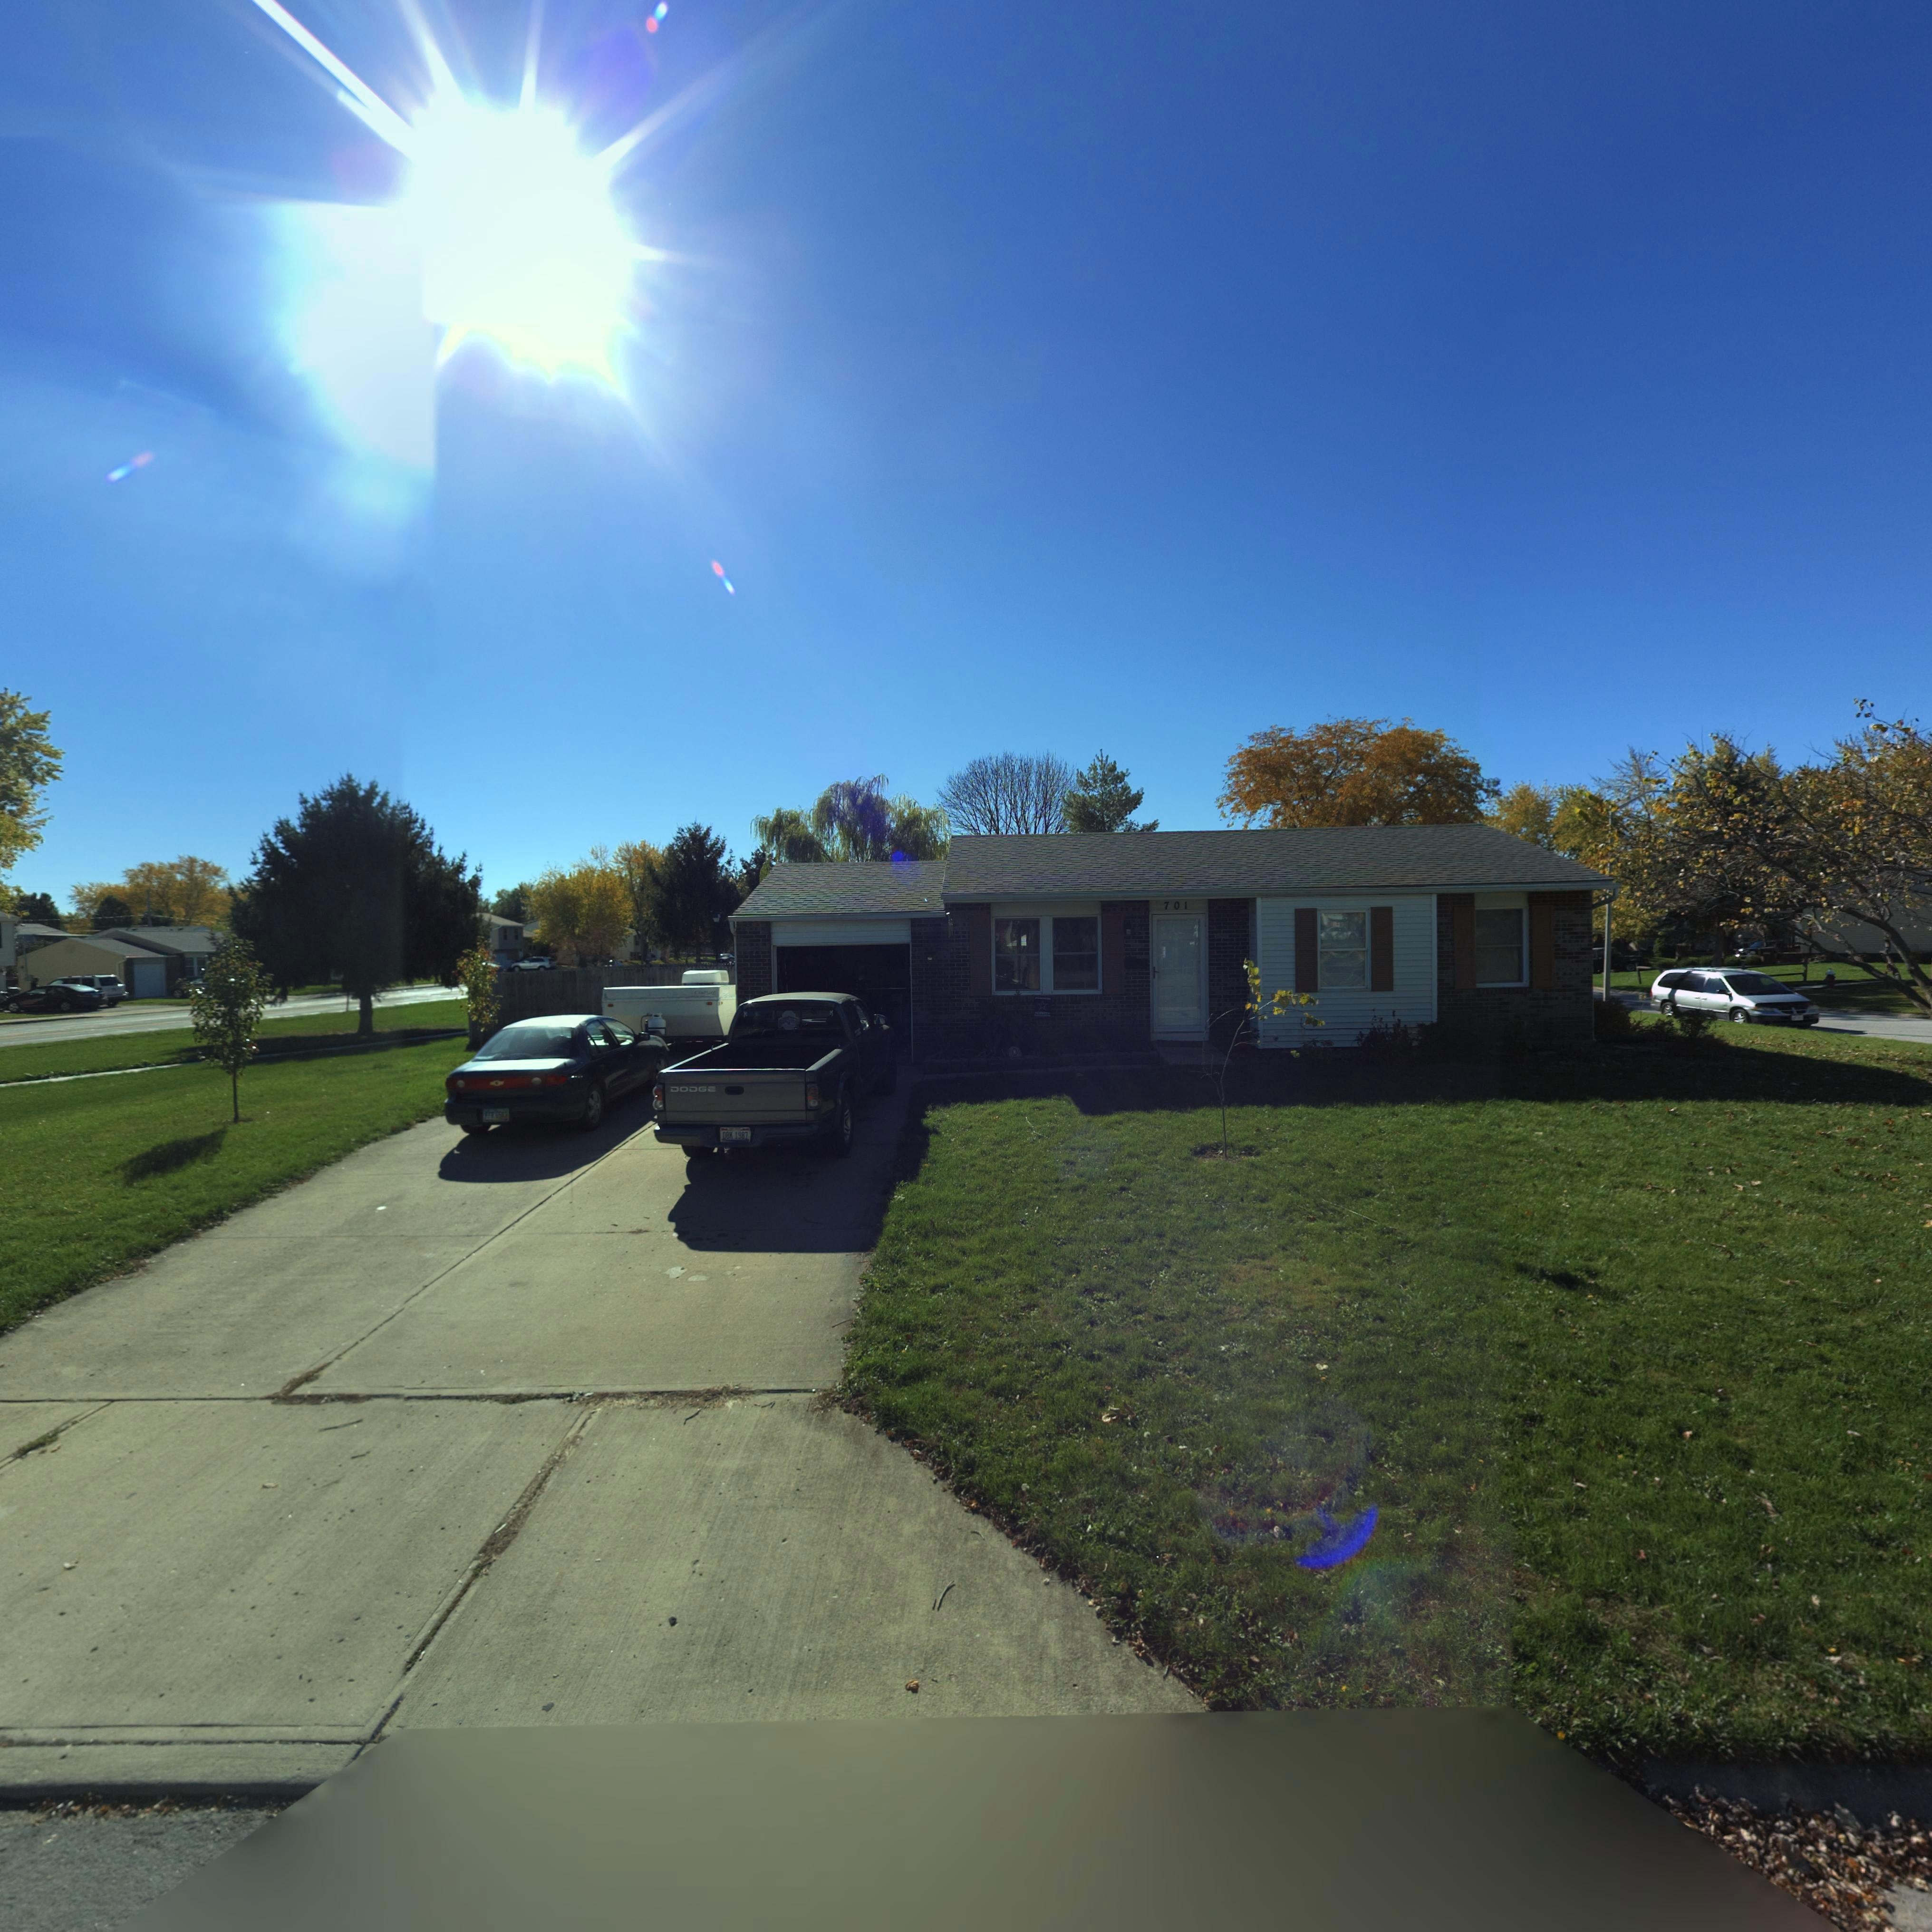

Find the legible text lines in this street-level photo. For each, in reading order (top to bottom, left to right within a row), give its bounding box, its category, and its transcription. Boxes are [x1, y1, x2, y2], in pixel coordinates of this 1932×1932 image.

[1163, 901, 1188, 910] StreetNumber: 701
[668, 1083, 718, 1094] None: DODGE
[721, 1129, 750, 1141] None: DBK 1987